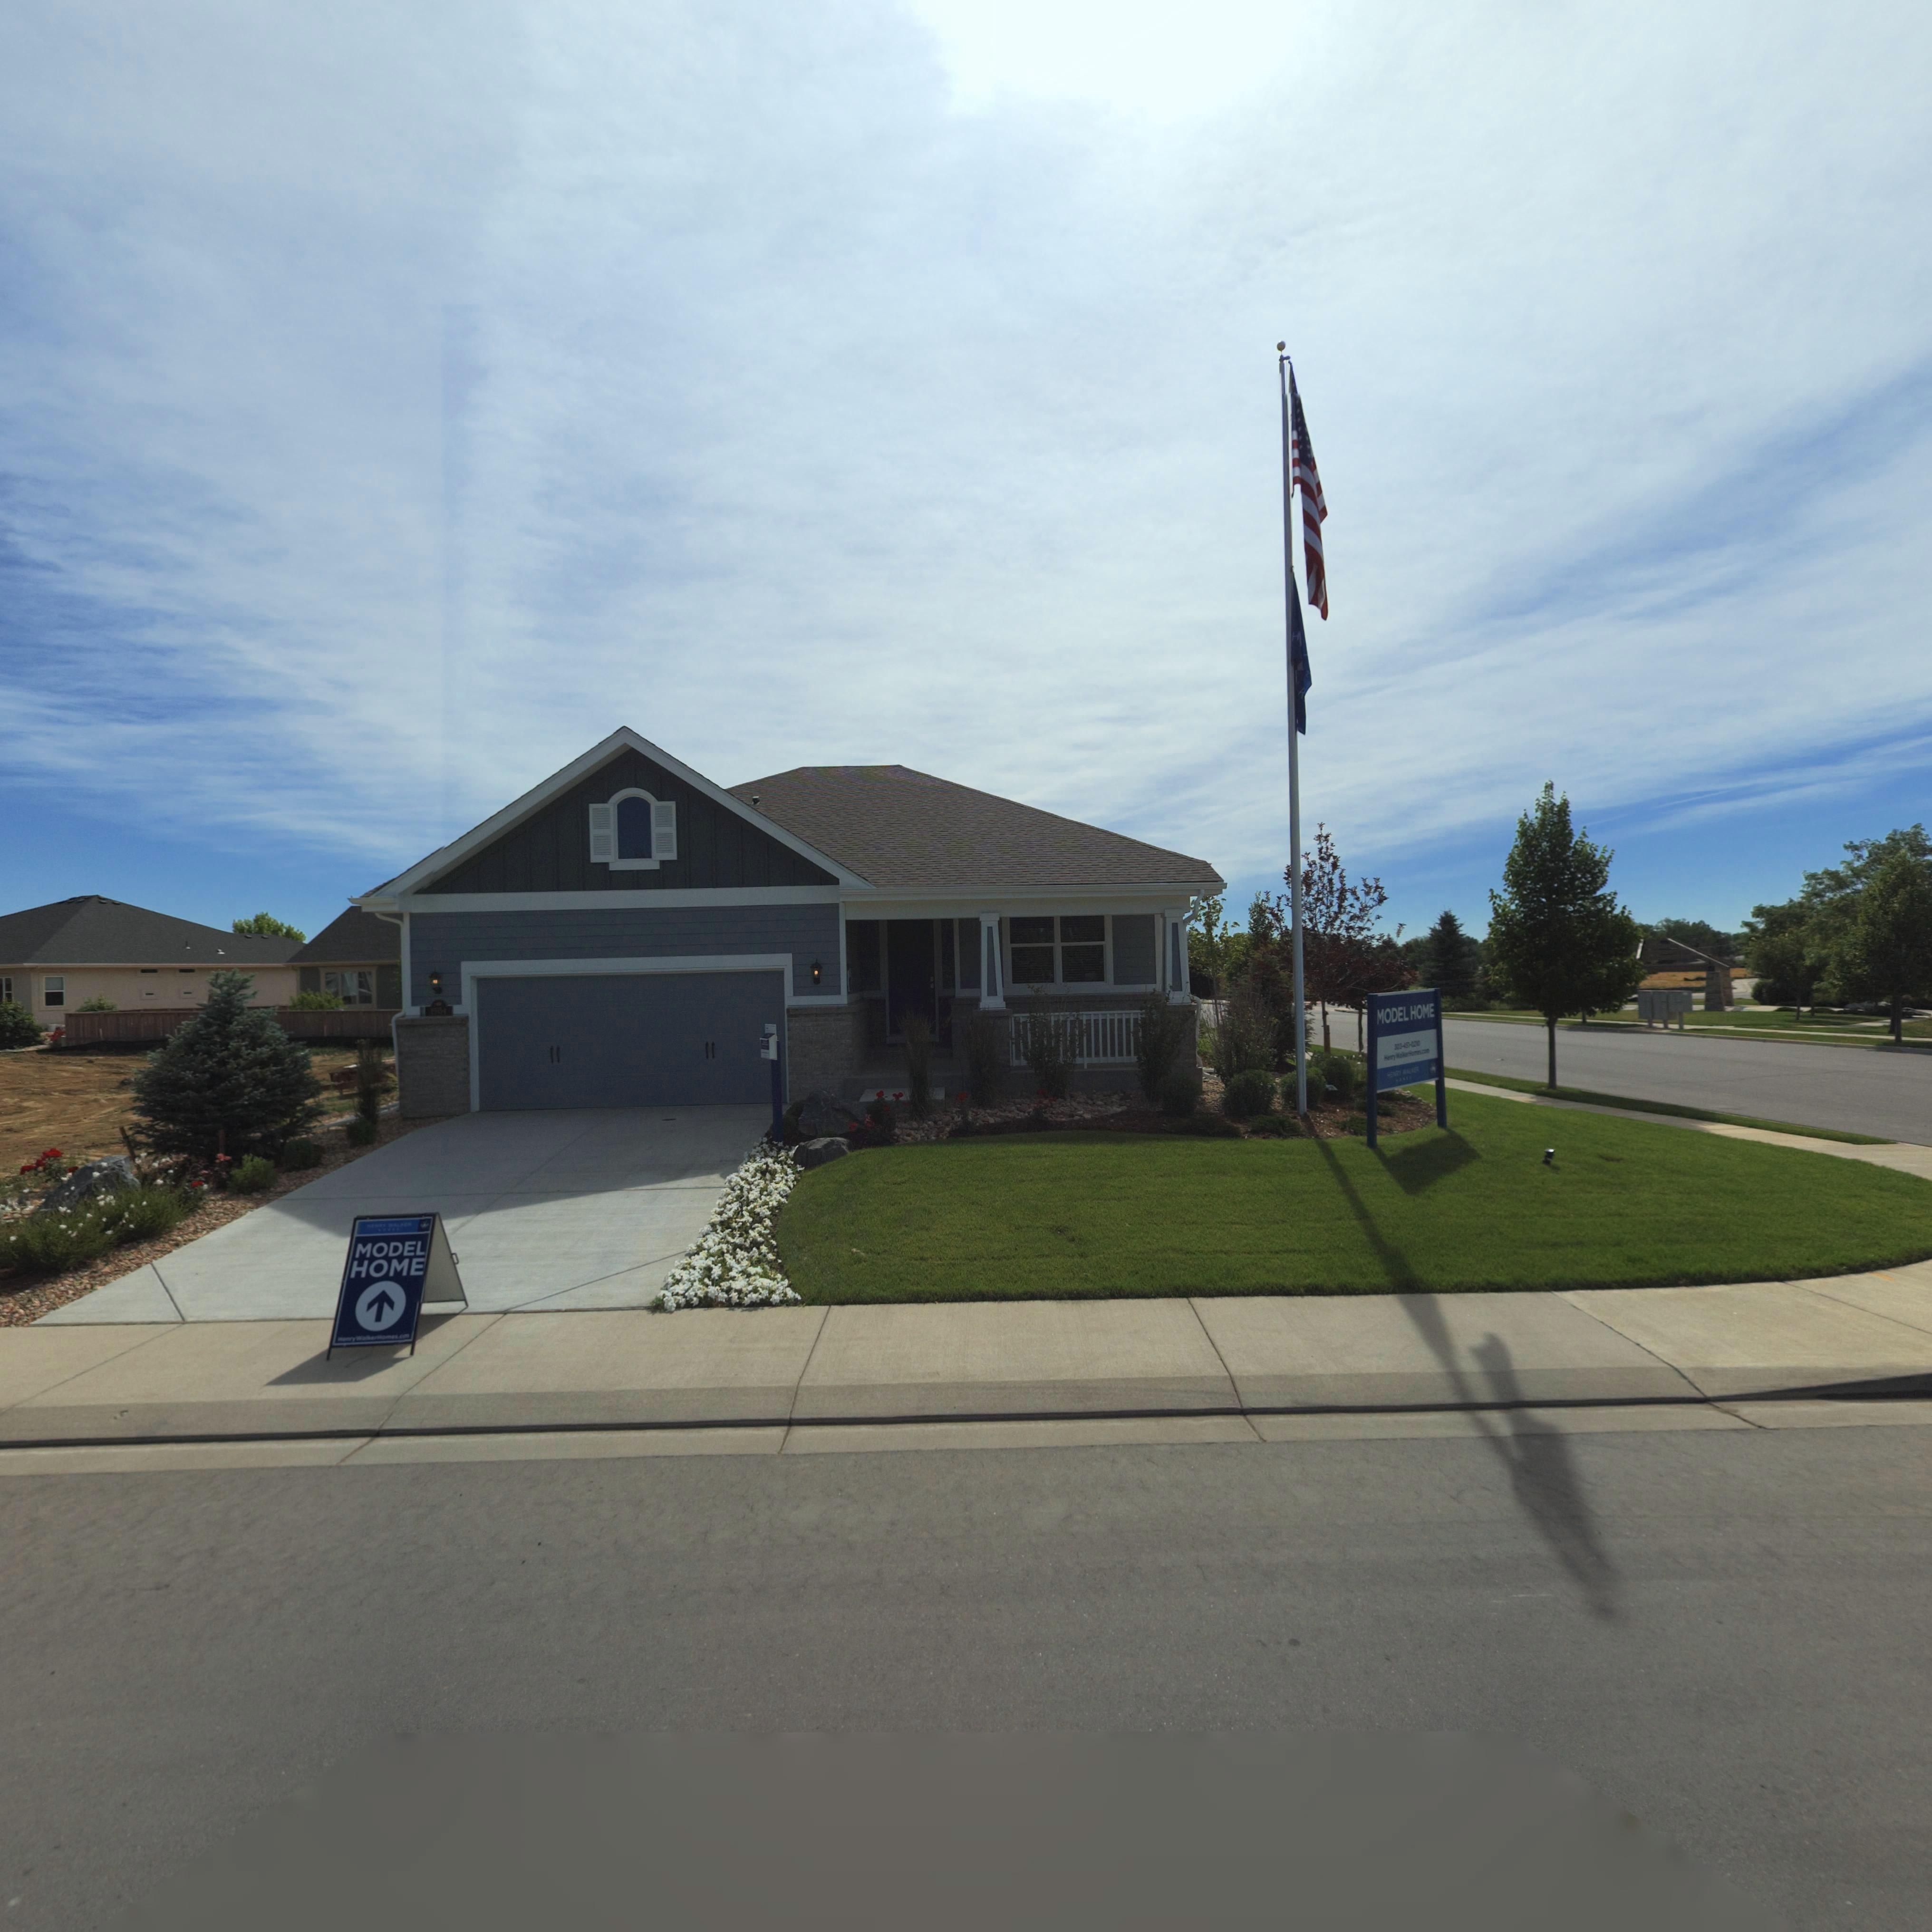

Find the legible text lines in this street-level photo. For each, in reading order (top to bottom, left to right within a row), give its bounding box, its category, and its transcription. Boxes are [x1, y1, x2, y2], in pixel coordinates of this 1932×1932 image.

[429, 1007, 447, 1015] StreetNumber: 1504